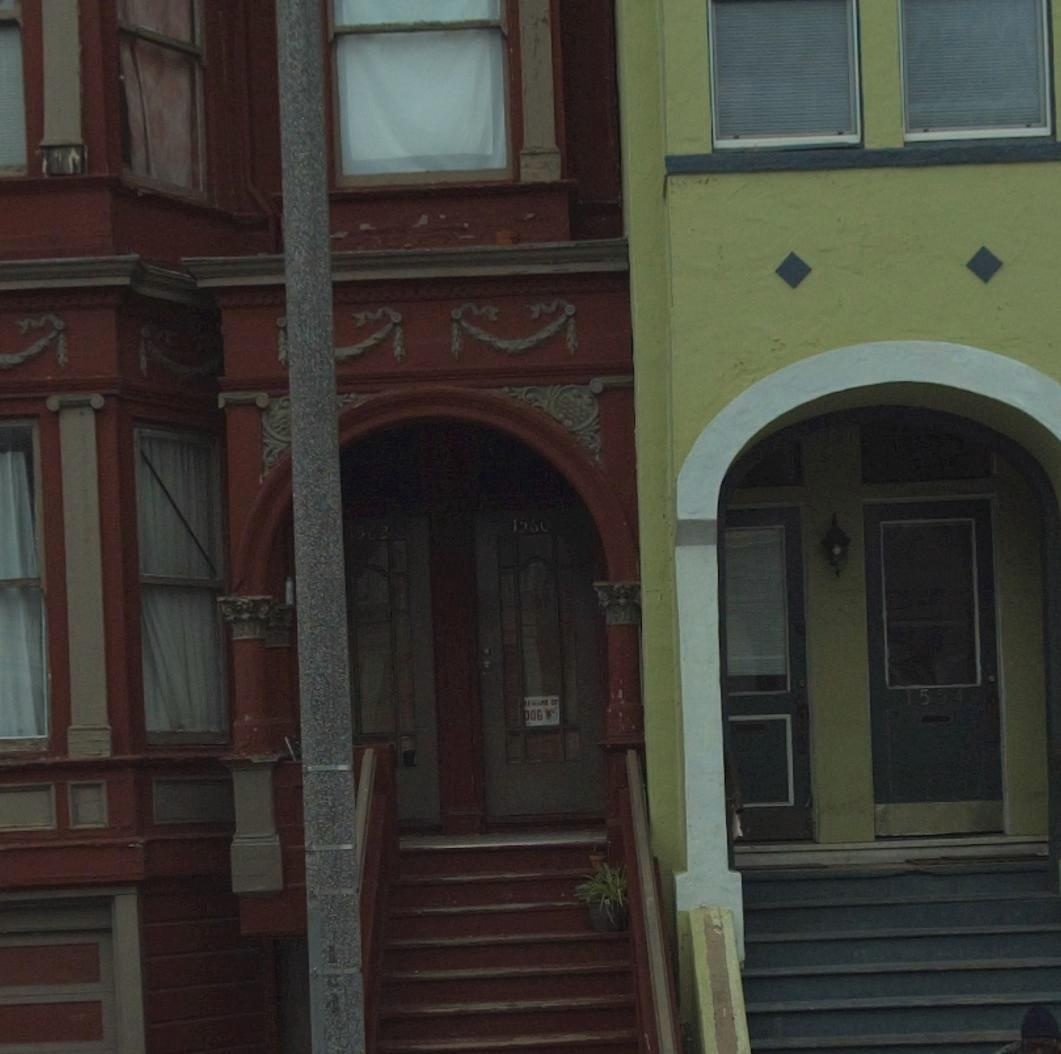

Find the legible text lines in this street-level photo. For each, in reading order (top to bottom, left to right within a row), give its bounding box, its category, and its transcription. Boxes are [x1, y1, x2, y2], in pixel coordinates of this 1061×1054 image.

[347, 524, 390, 539] StreetNumber: 1562
[512, 517, 551, 533] StreetNumber: 1560
[906, 687, 966, 707] StreetNumber: 1554
[523, 708, 544, 722] None: *OG